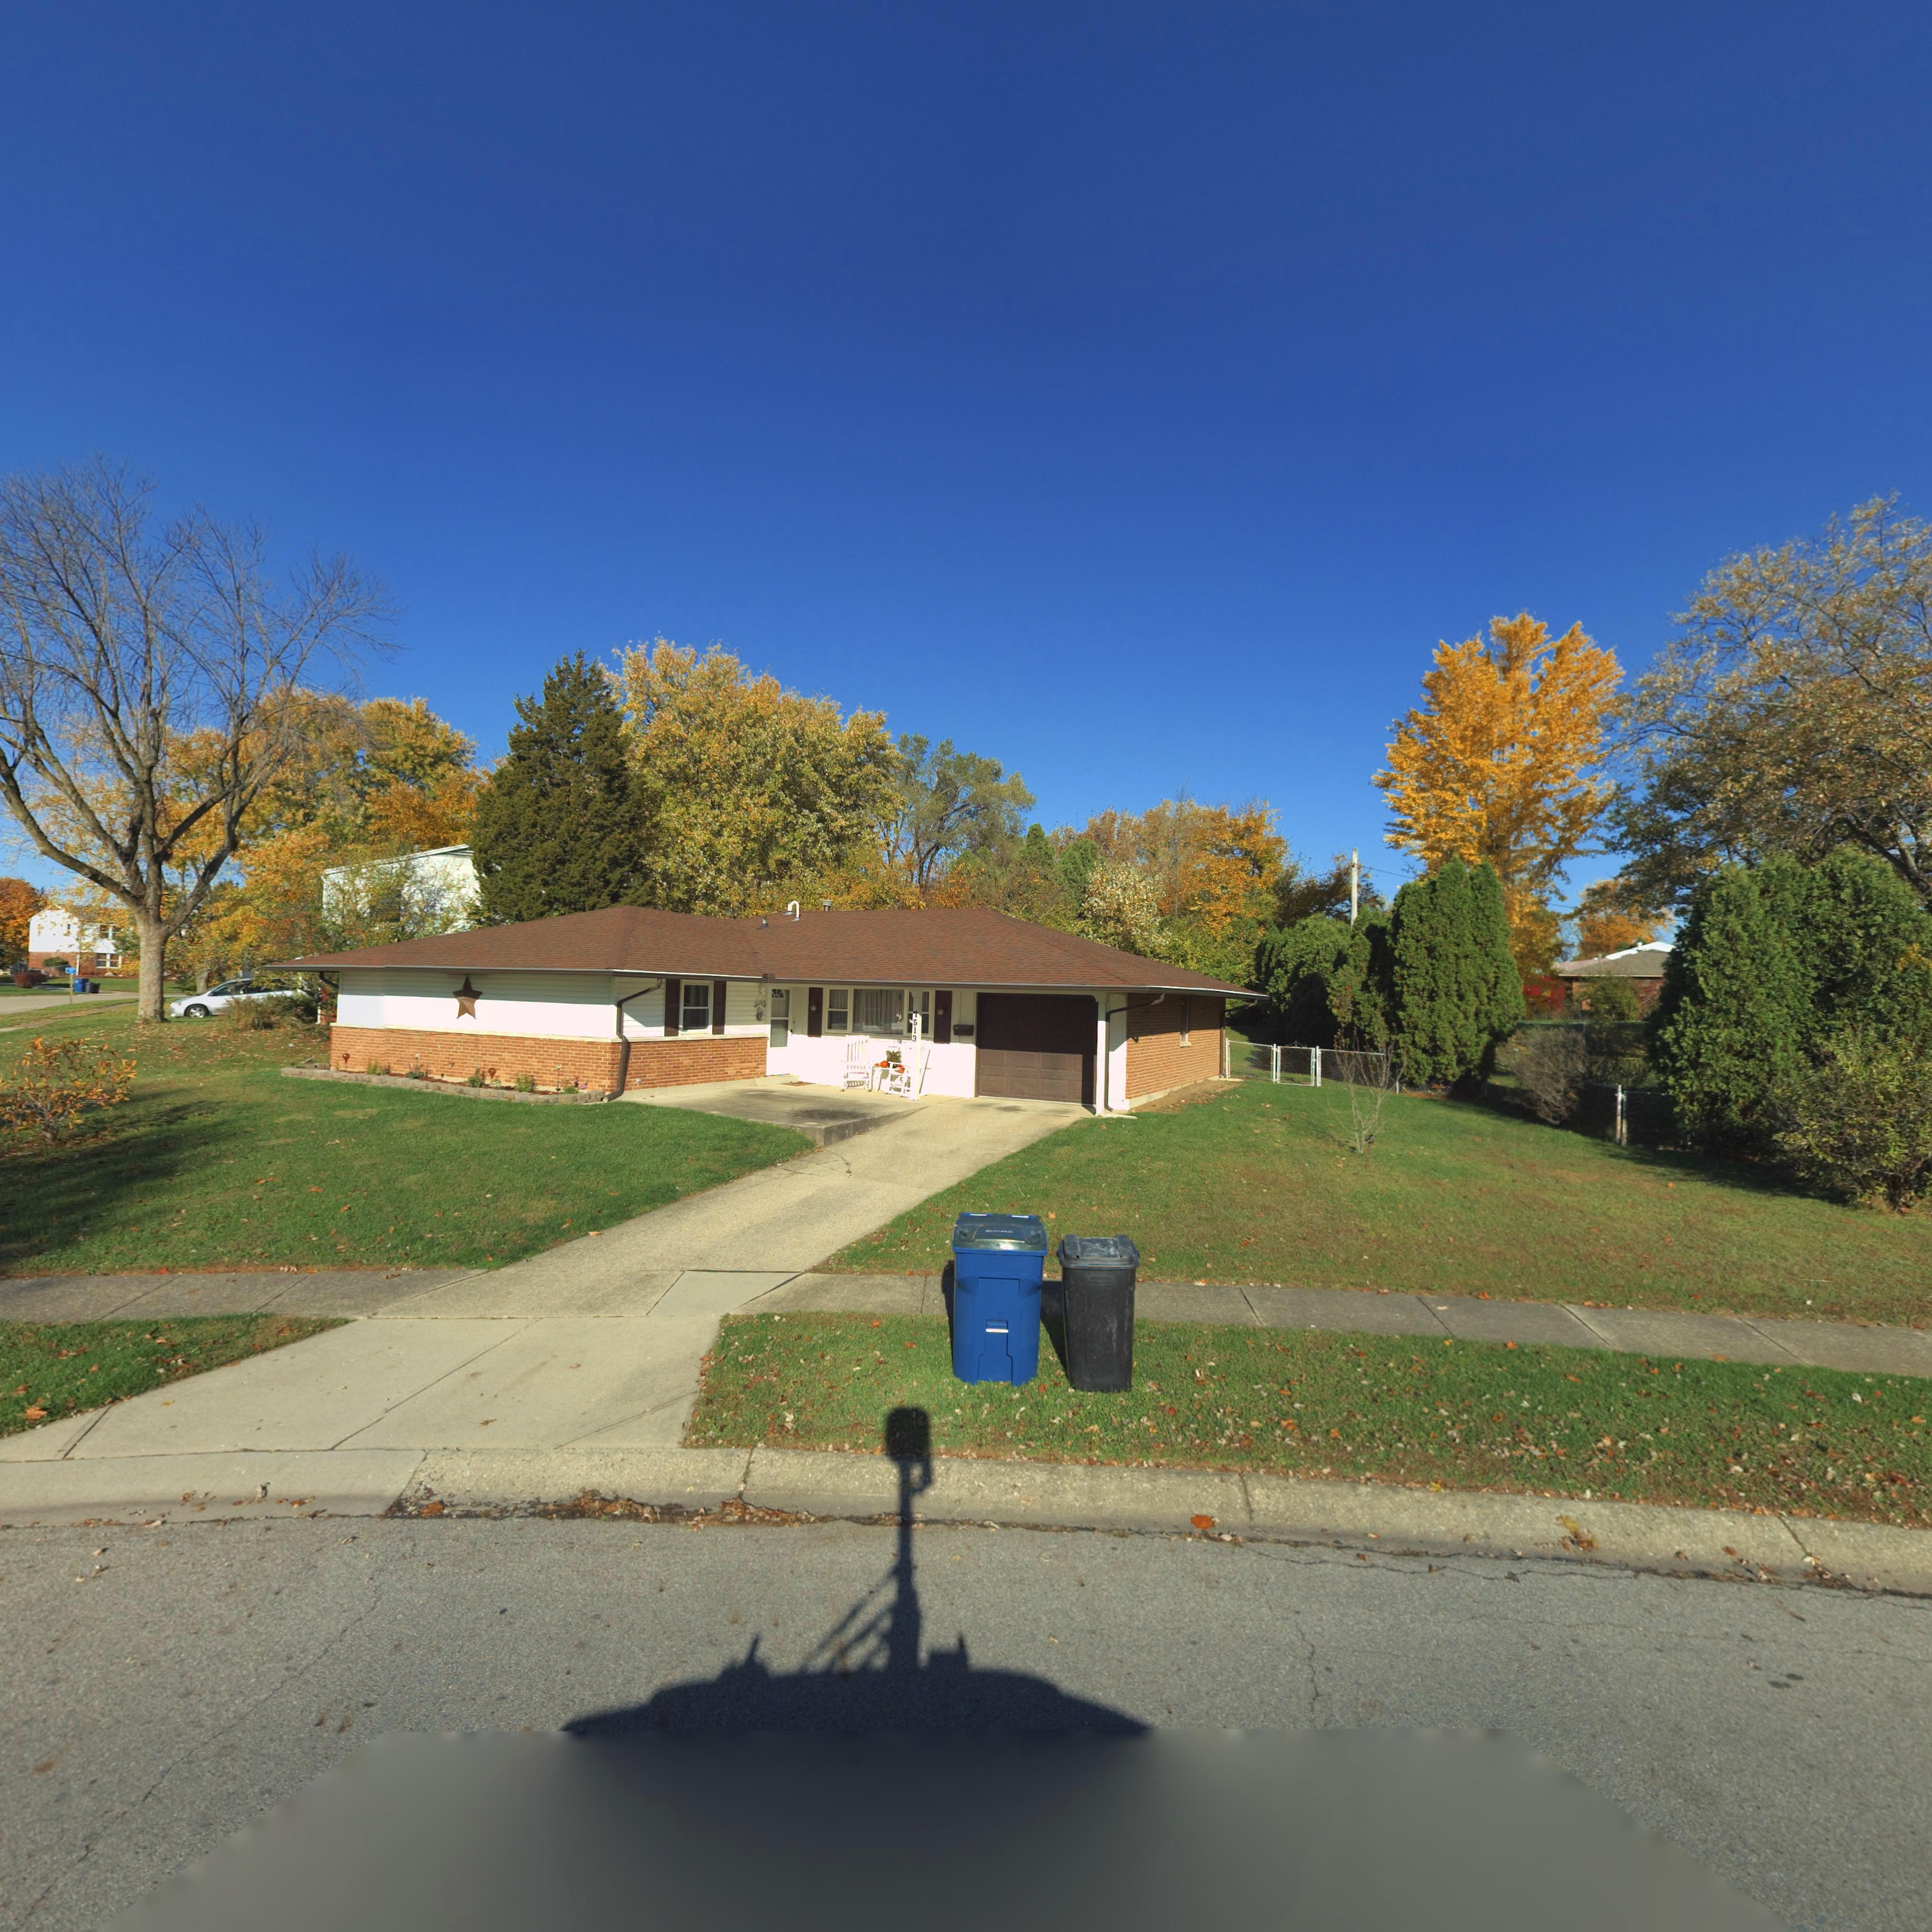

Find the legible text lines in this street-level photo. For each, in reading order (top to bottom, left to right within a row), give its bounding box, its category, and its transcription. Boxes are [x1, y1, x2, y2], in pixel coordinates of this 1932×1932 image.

[911, 1010, 919, 1043] StreetNumber: 7513